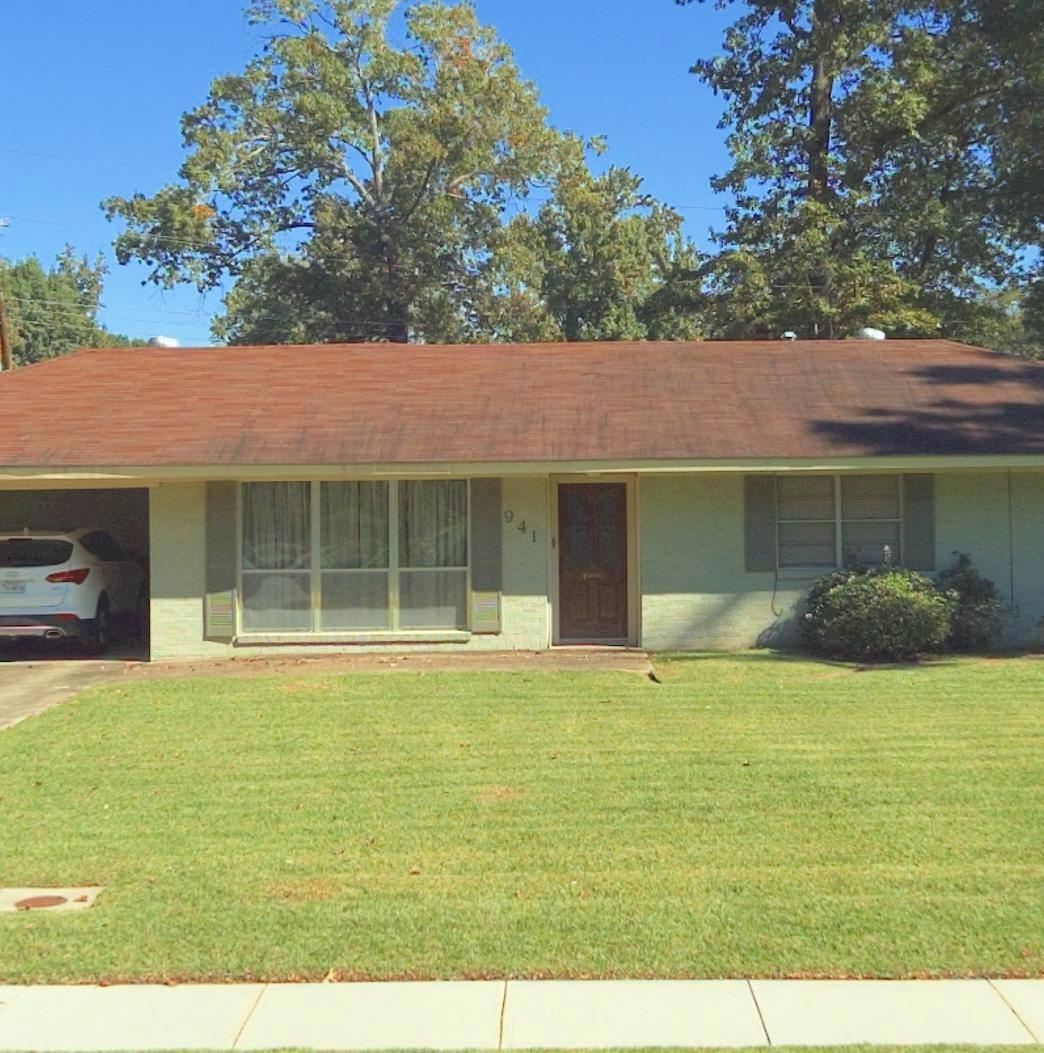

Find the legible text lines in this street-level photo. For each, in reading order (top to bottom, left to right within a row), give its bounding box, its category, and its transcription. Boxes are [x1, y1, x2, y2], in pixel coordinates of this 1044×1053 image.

[502, 507, 539, 544] StreetNumber: 941